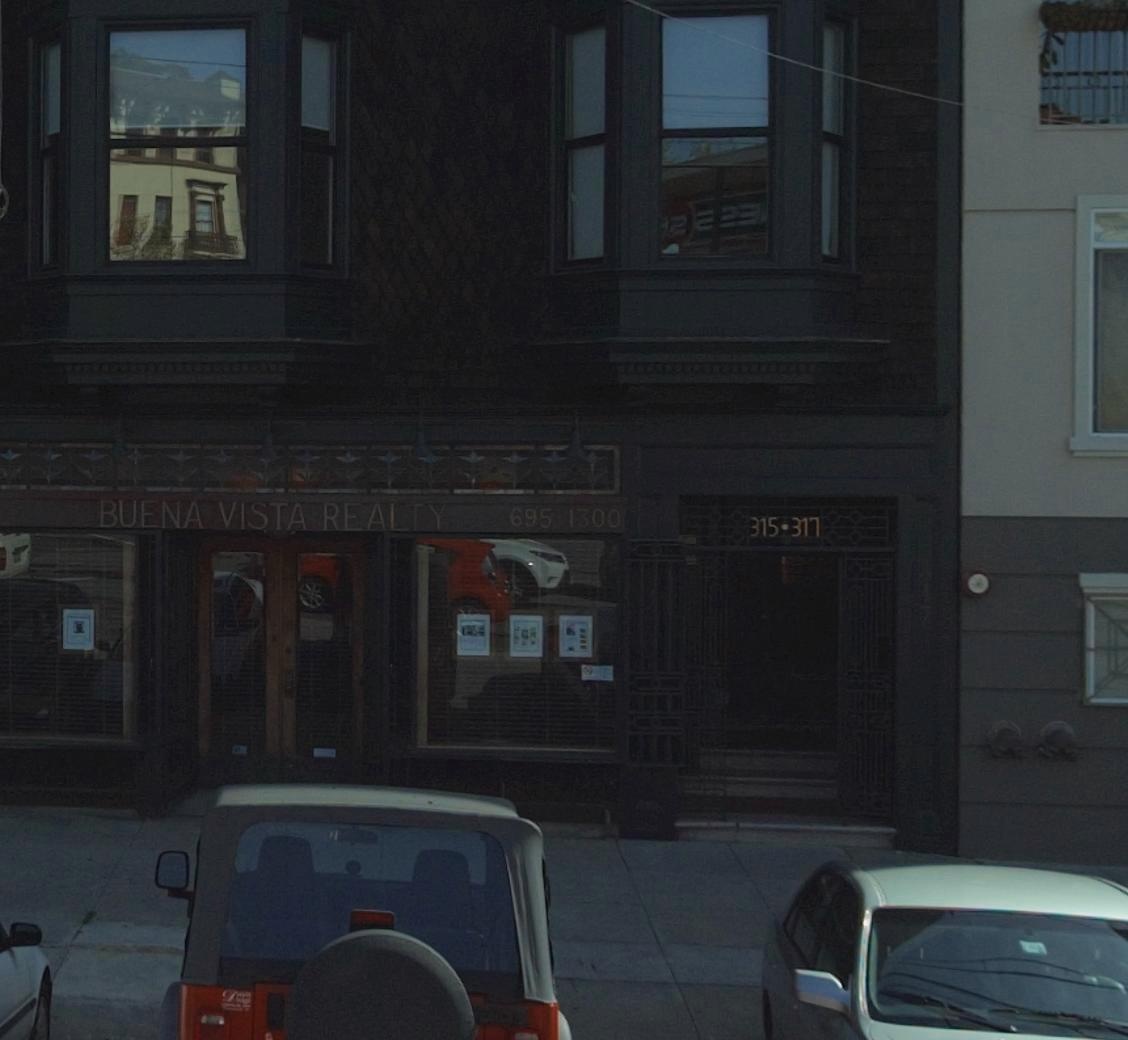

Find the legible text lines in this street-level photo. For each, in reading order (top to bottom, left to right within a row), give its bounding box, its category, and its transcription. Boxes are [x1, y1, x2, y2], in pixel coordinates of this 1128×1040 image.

[98, 498, 448, 533] BusinessName: BUENA VISTA REALTY
[509, 506, 622, 529] None: 695 1300
[749, 516, 781, 538] StreetNumber: 315-317
[790, 516, 820, 538] StreetNumber: 317